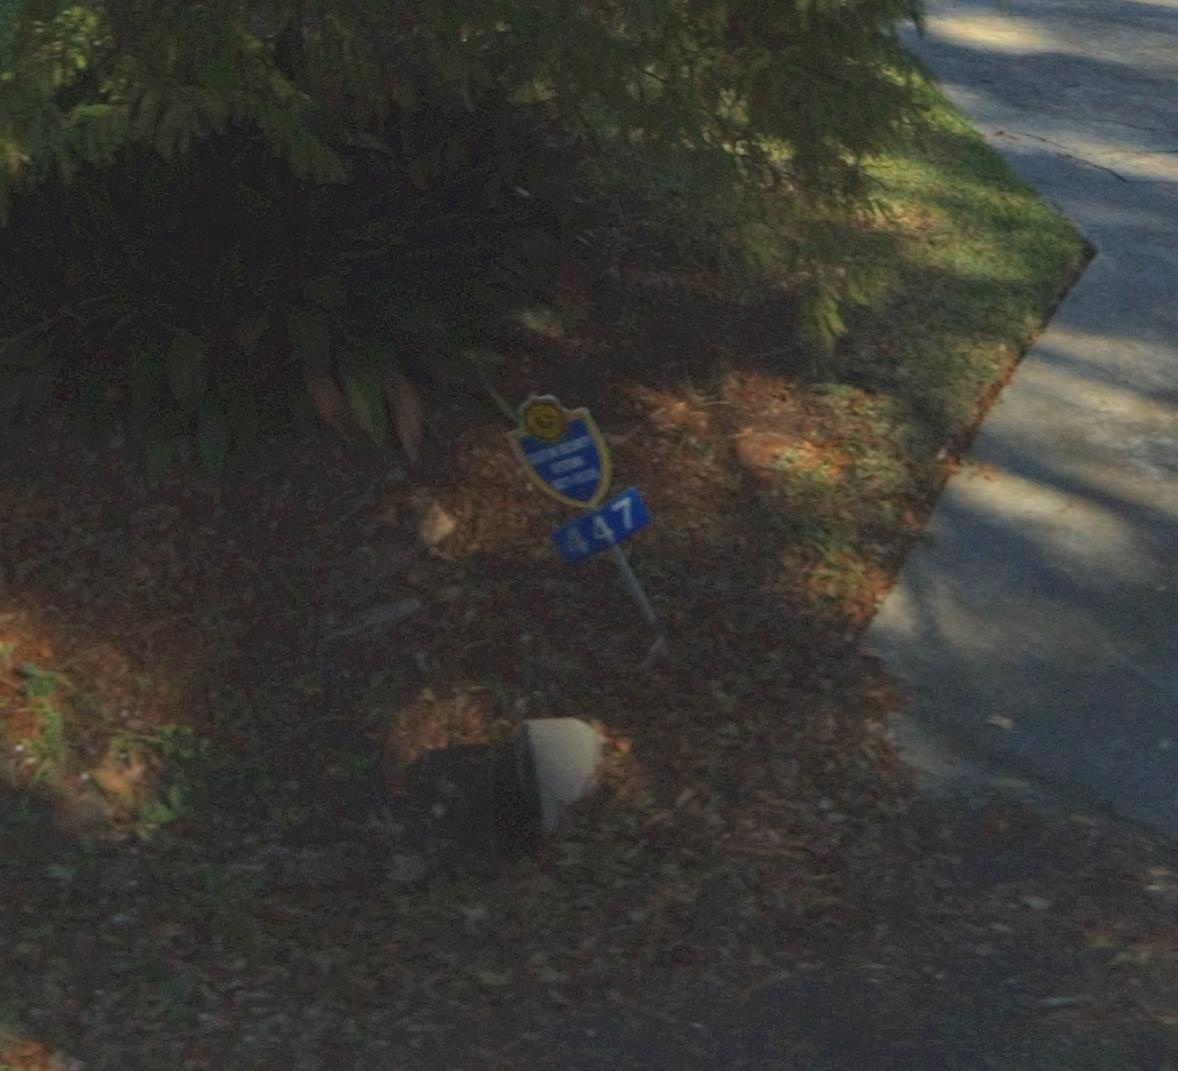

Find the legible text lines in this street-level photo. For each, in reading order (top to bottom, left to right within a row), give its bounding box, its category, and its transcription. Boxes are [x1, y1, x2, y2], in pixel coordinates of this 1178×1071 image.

[561, 492, 639, 558] StreetNumber: 447